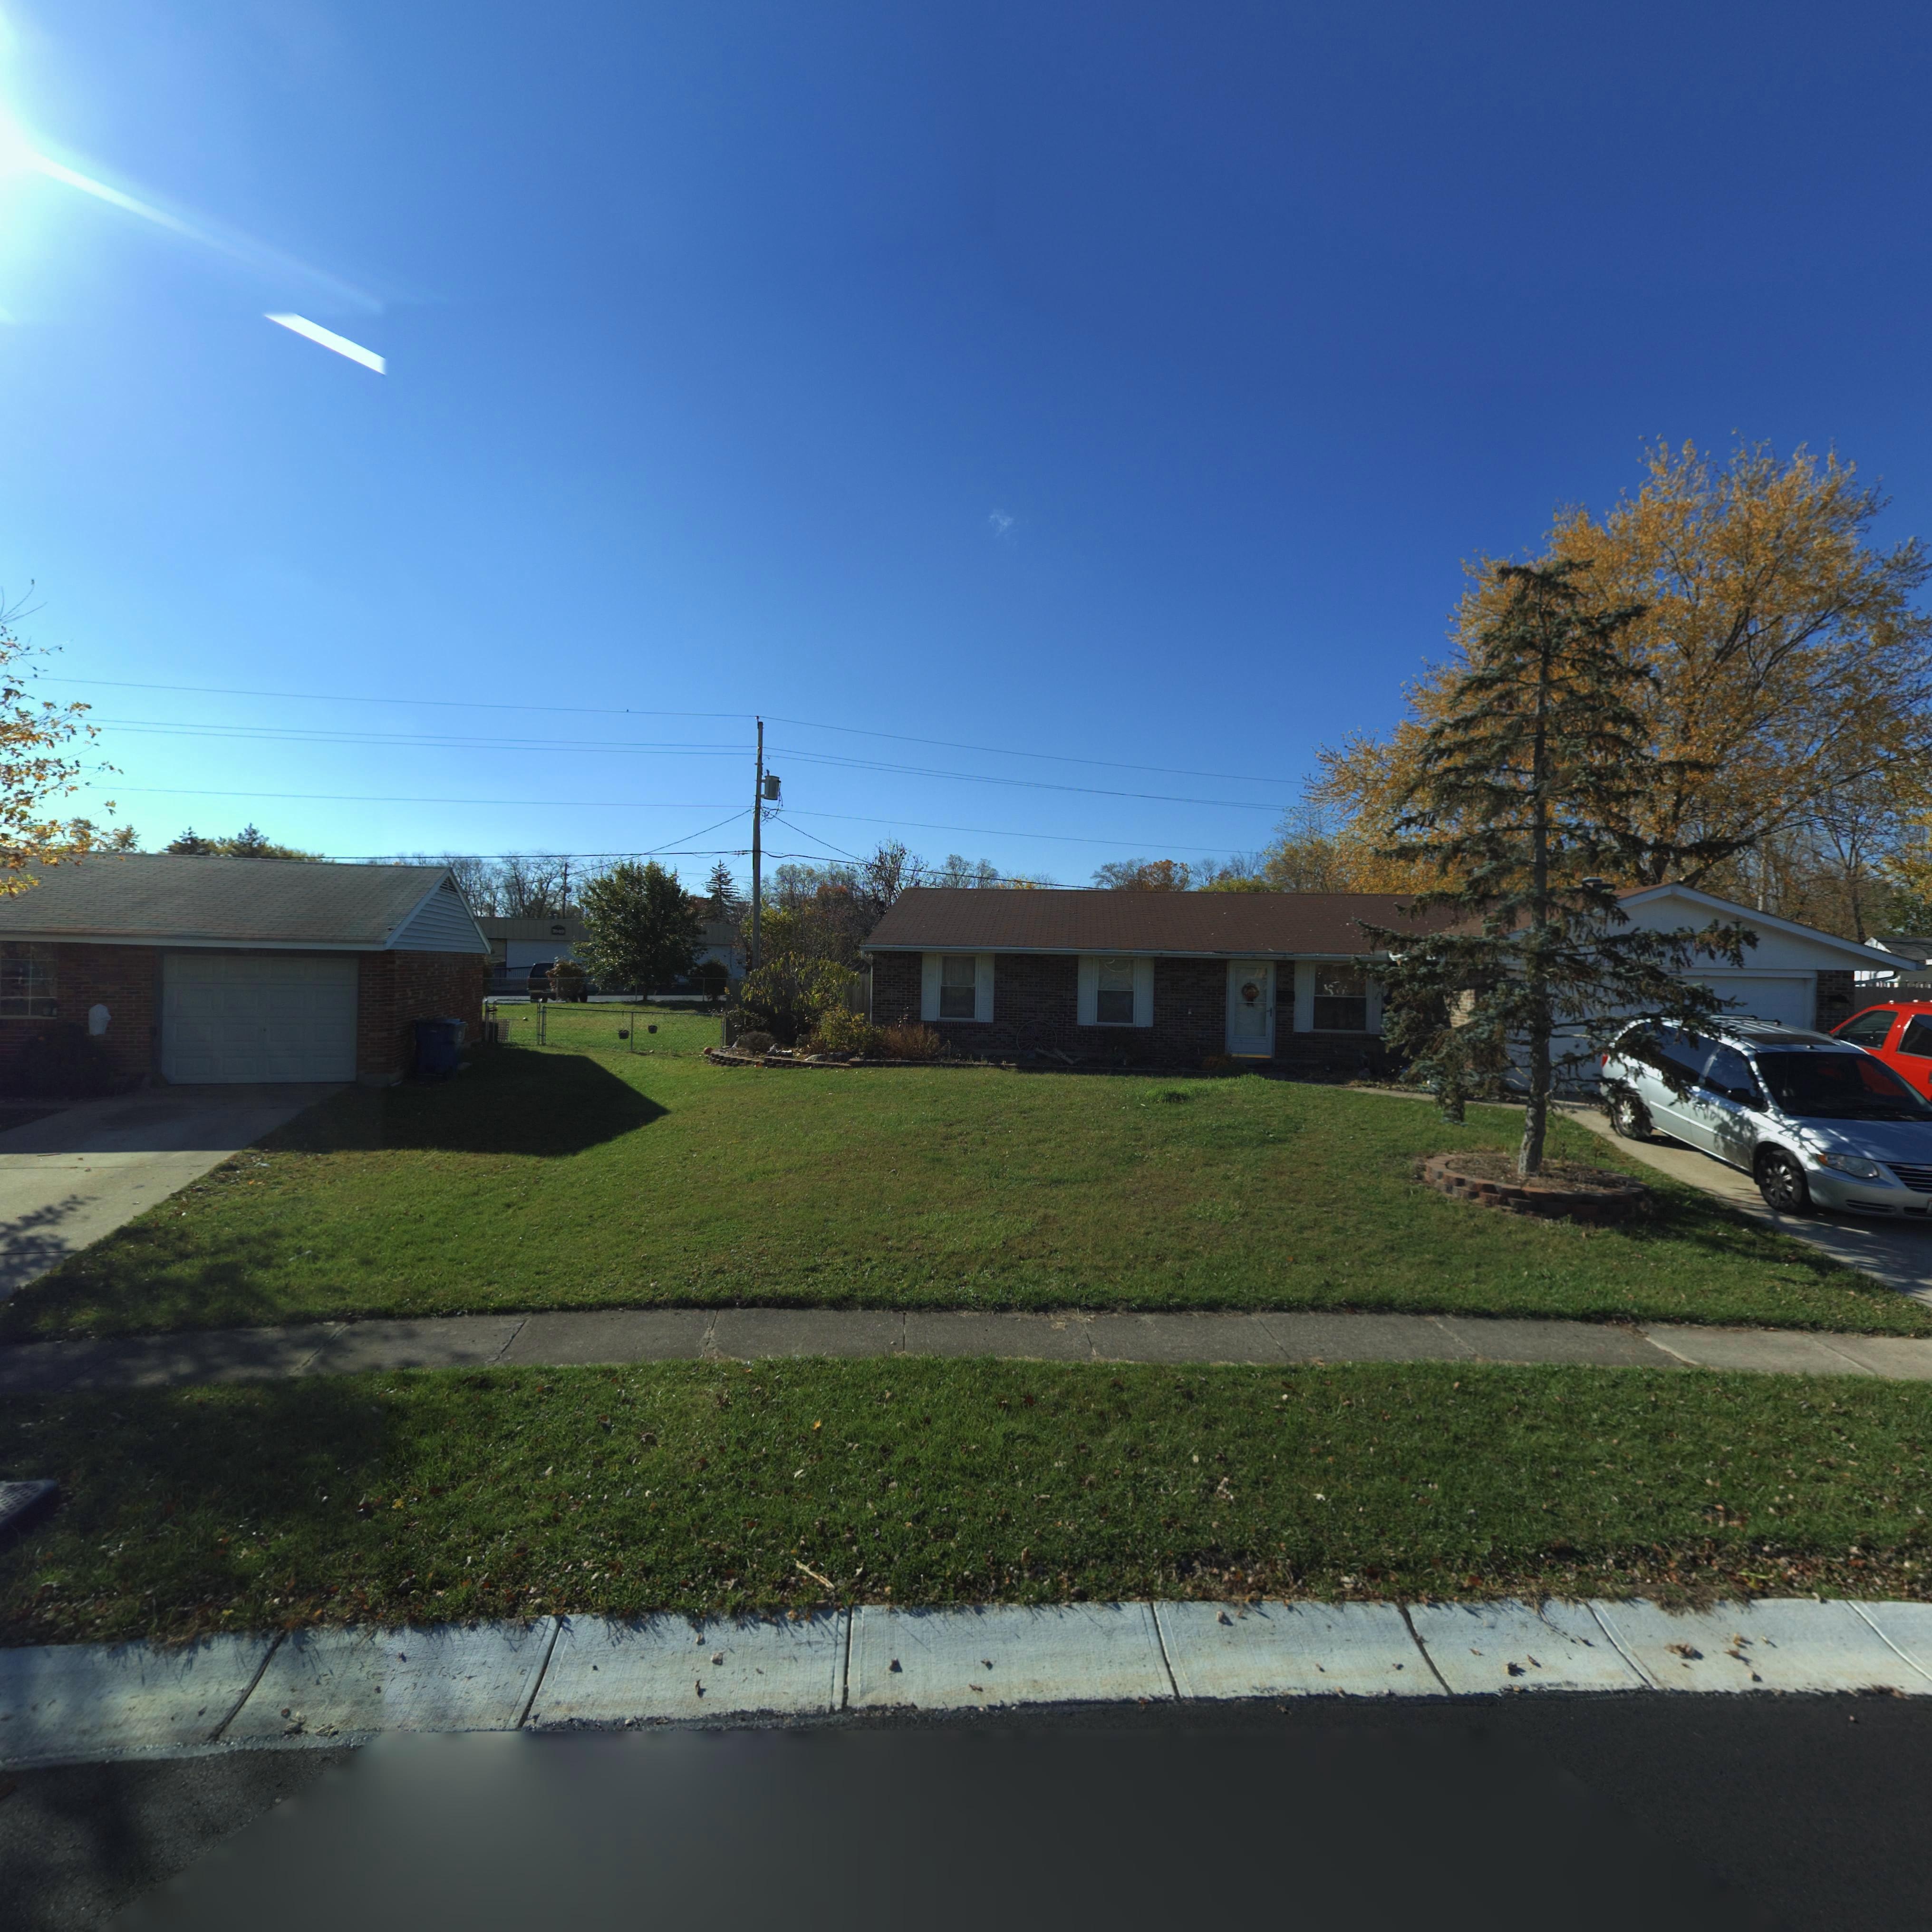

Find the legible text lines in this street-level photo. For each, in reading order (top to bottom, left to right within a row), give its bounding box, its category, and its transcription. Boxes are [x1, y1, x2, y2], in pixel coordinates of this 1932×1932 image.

[255, 948, 267, 957] StreetNumber: 40